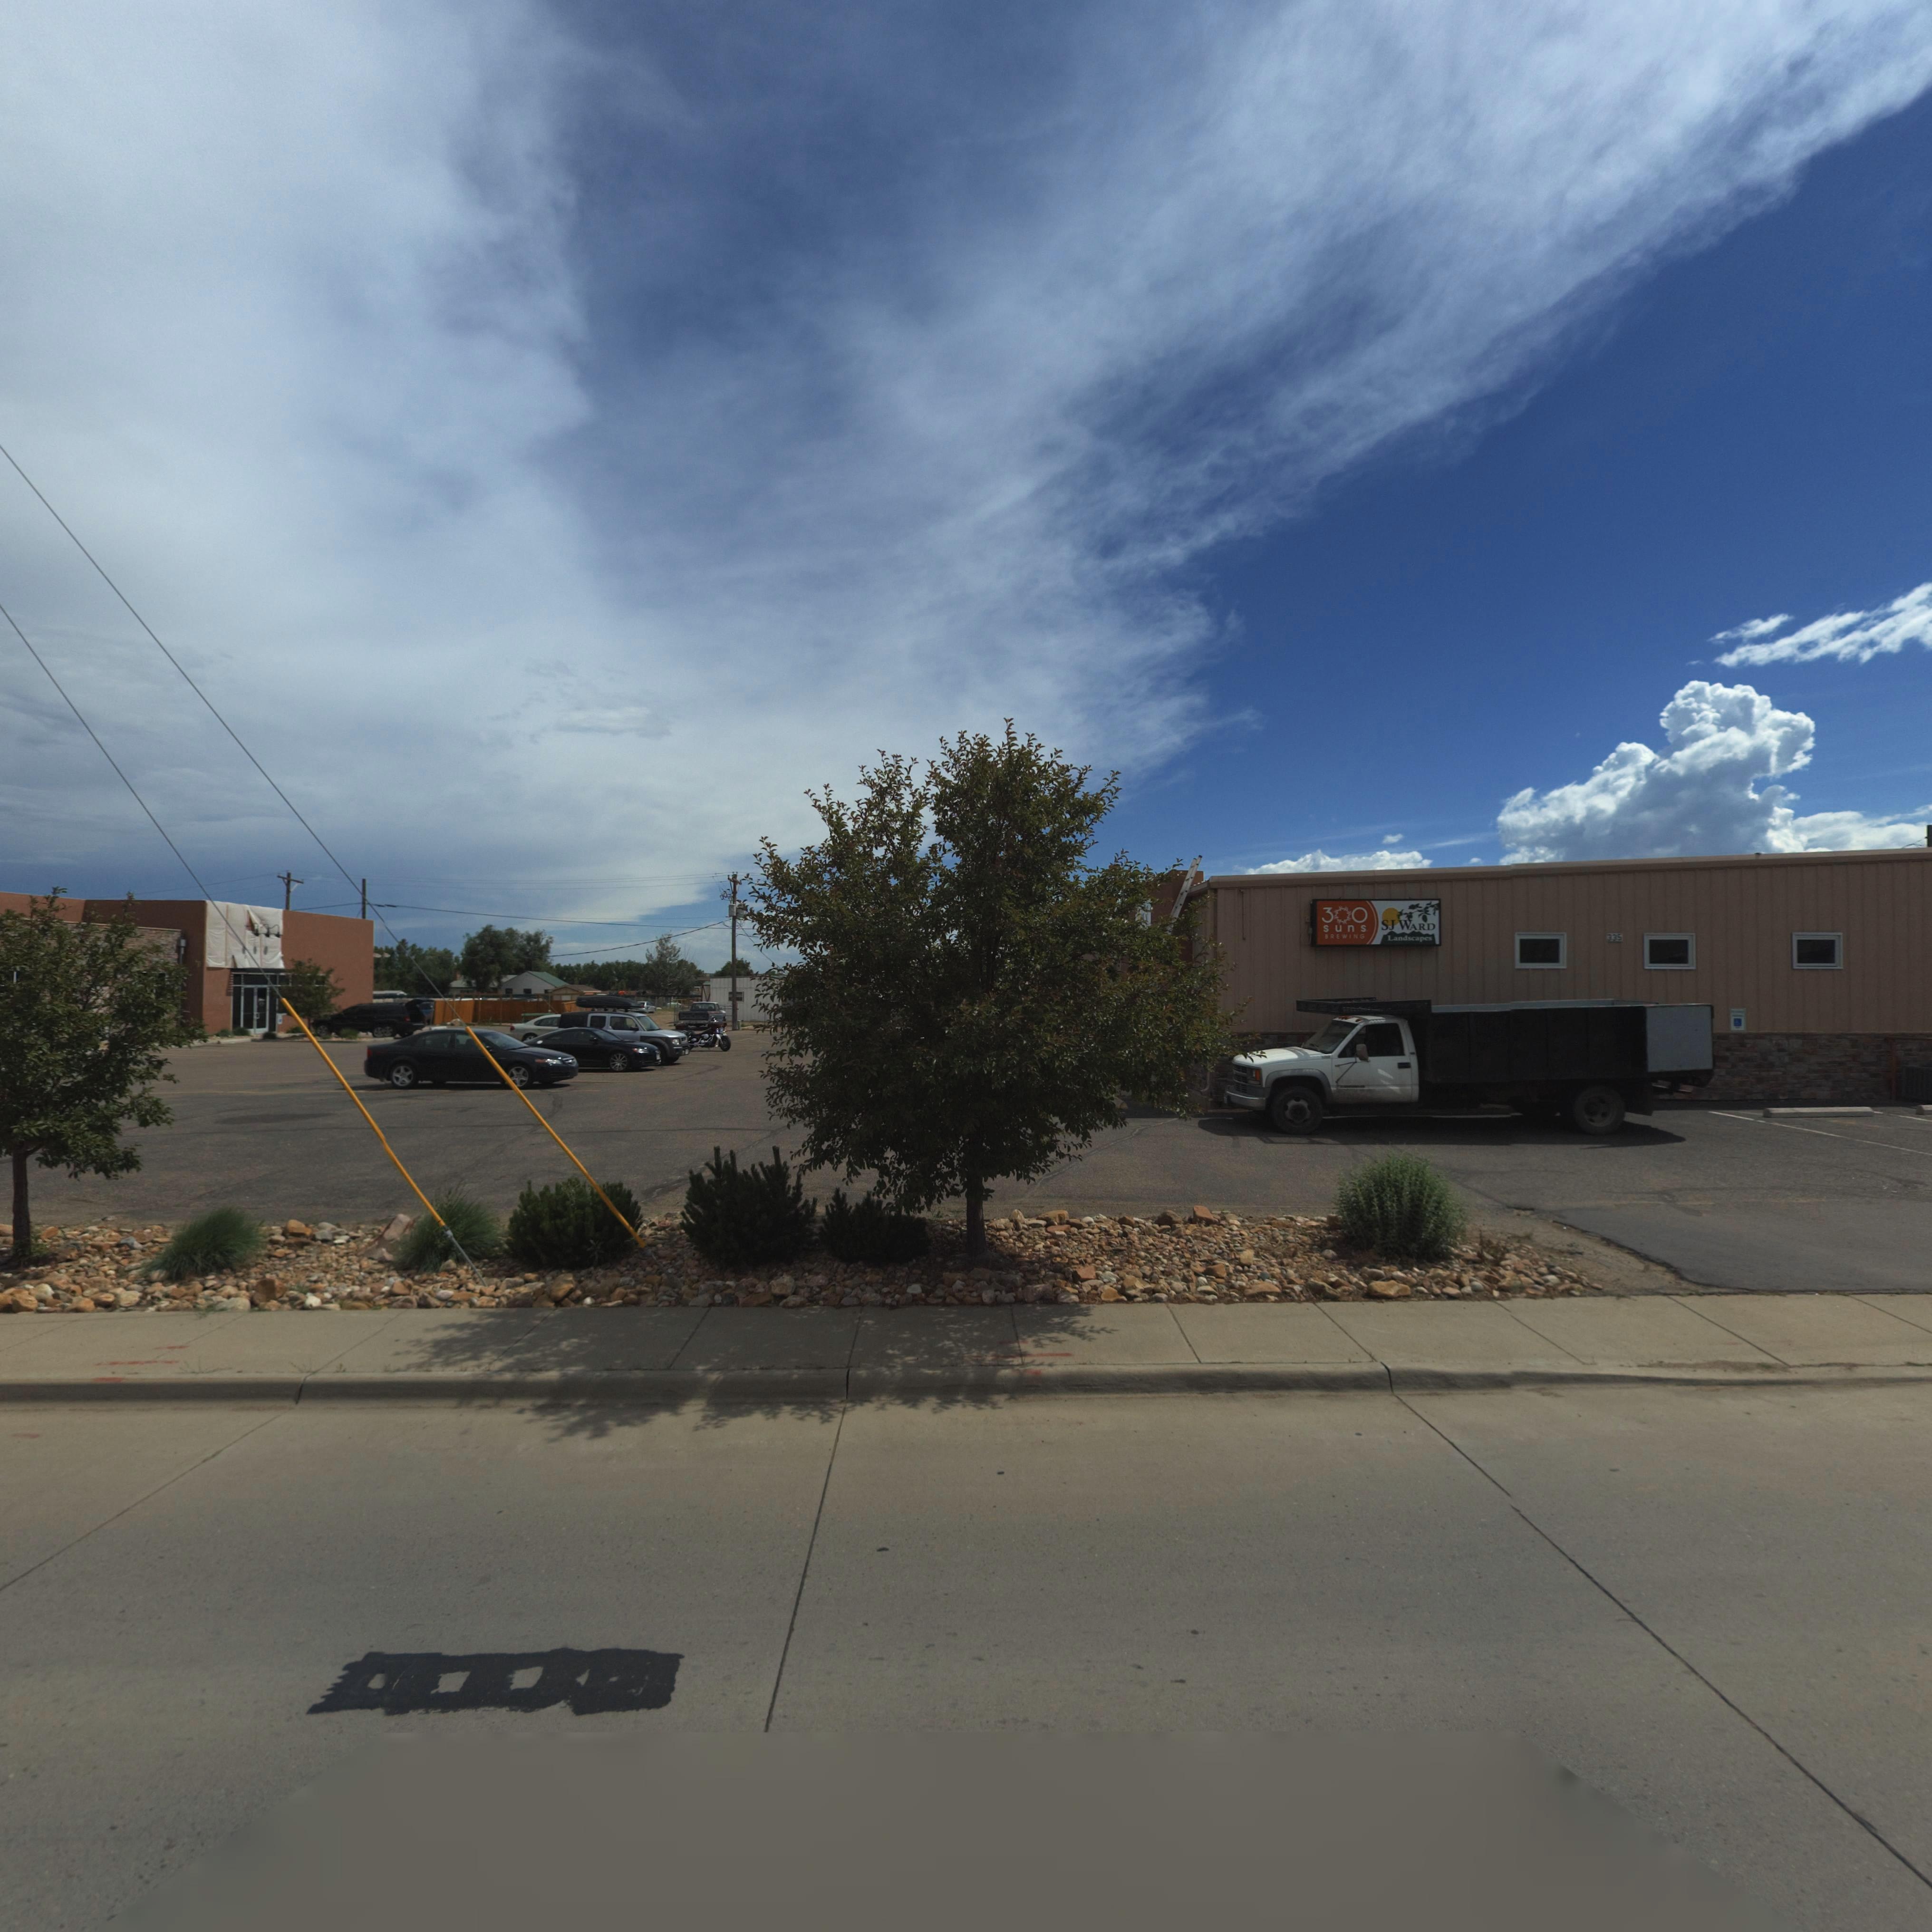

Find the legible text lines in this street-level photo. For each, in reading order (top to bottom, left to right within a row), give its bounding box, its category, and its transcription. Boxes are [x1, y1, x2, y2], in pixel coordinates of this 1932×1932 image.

[1321, 905, 1368, 924] BusinessName: 3*0
[1323, 924, 1367, 932] BusinessName: suns
[1381, 919, 1436, 931] BusinessName: SJ WARD
[1324, 933, 1365, 939] BusinessName: BREWING
[1387, 935, 1433, 942] BusinessName: Landscapes
[1607, 933, 1623, 941] StreetNumber: 335